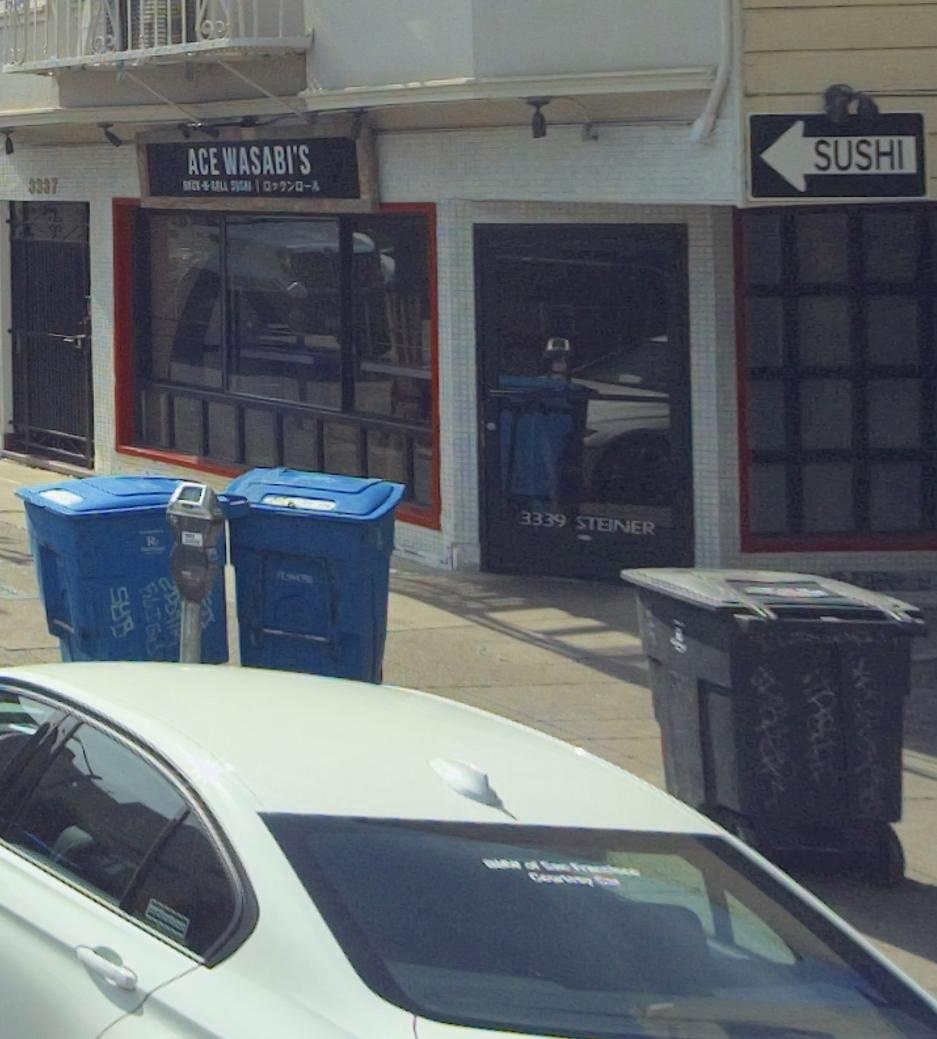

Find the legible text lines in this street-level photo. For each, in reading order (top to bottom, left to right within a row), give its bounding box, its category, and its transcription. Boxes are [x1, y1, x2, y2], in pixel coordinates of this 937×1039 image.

[185, 141, 315, 179] BusinessName: ACE WASABI'S
[811, 136, 907, 174] None: SUSHI
[26, 174, 60, 197] StreetNumber: 3337
[515, 508, 569, 530] StreetNumber: 3339
[573, 513, 659, 538] StreetName: STEINER
[297, 573, 309, 583] None: L
[105, 582, 137, 643] None: SY*